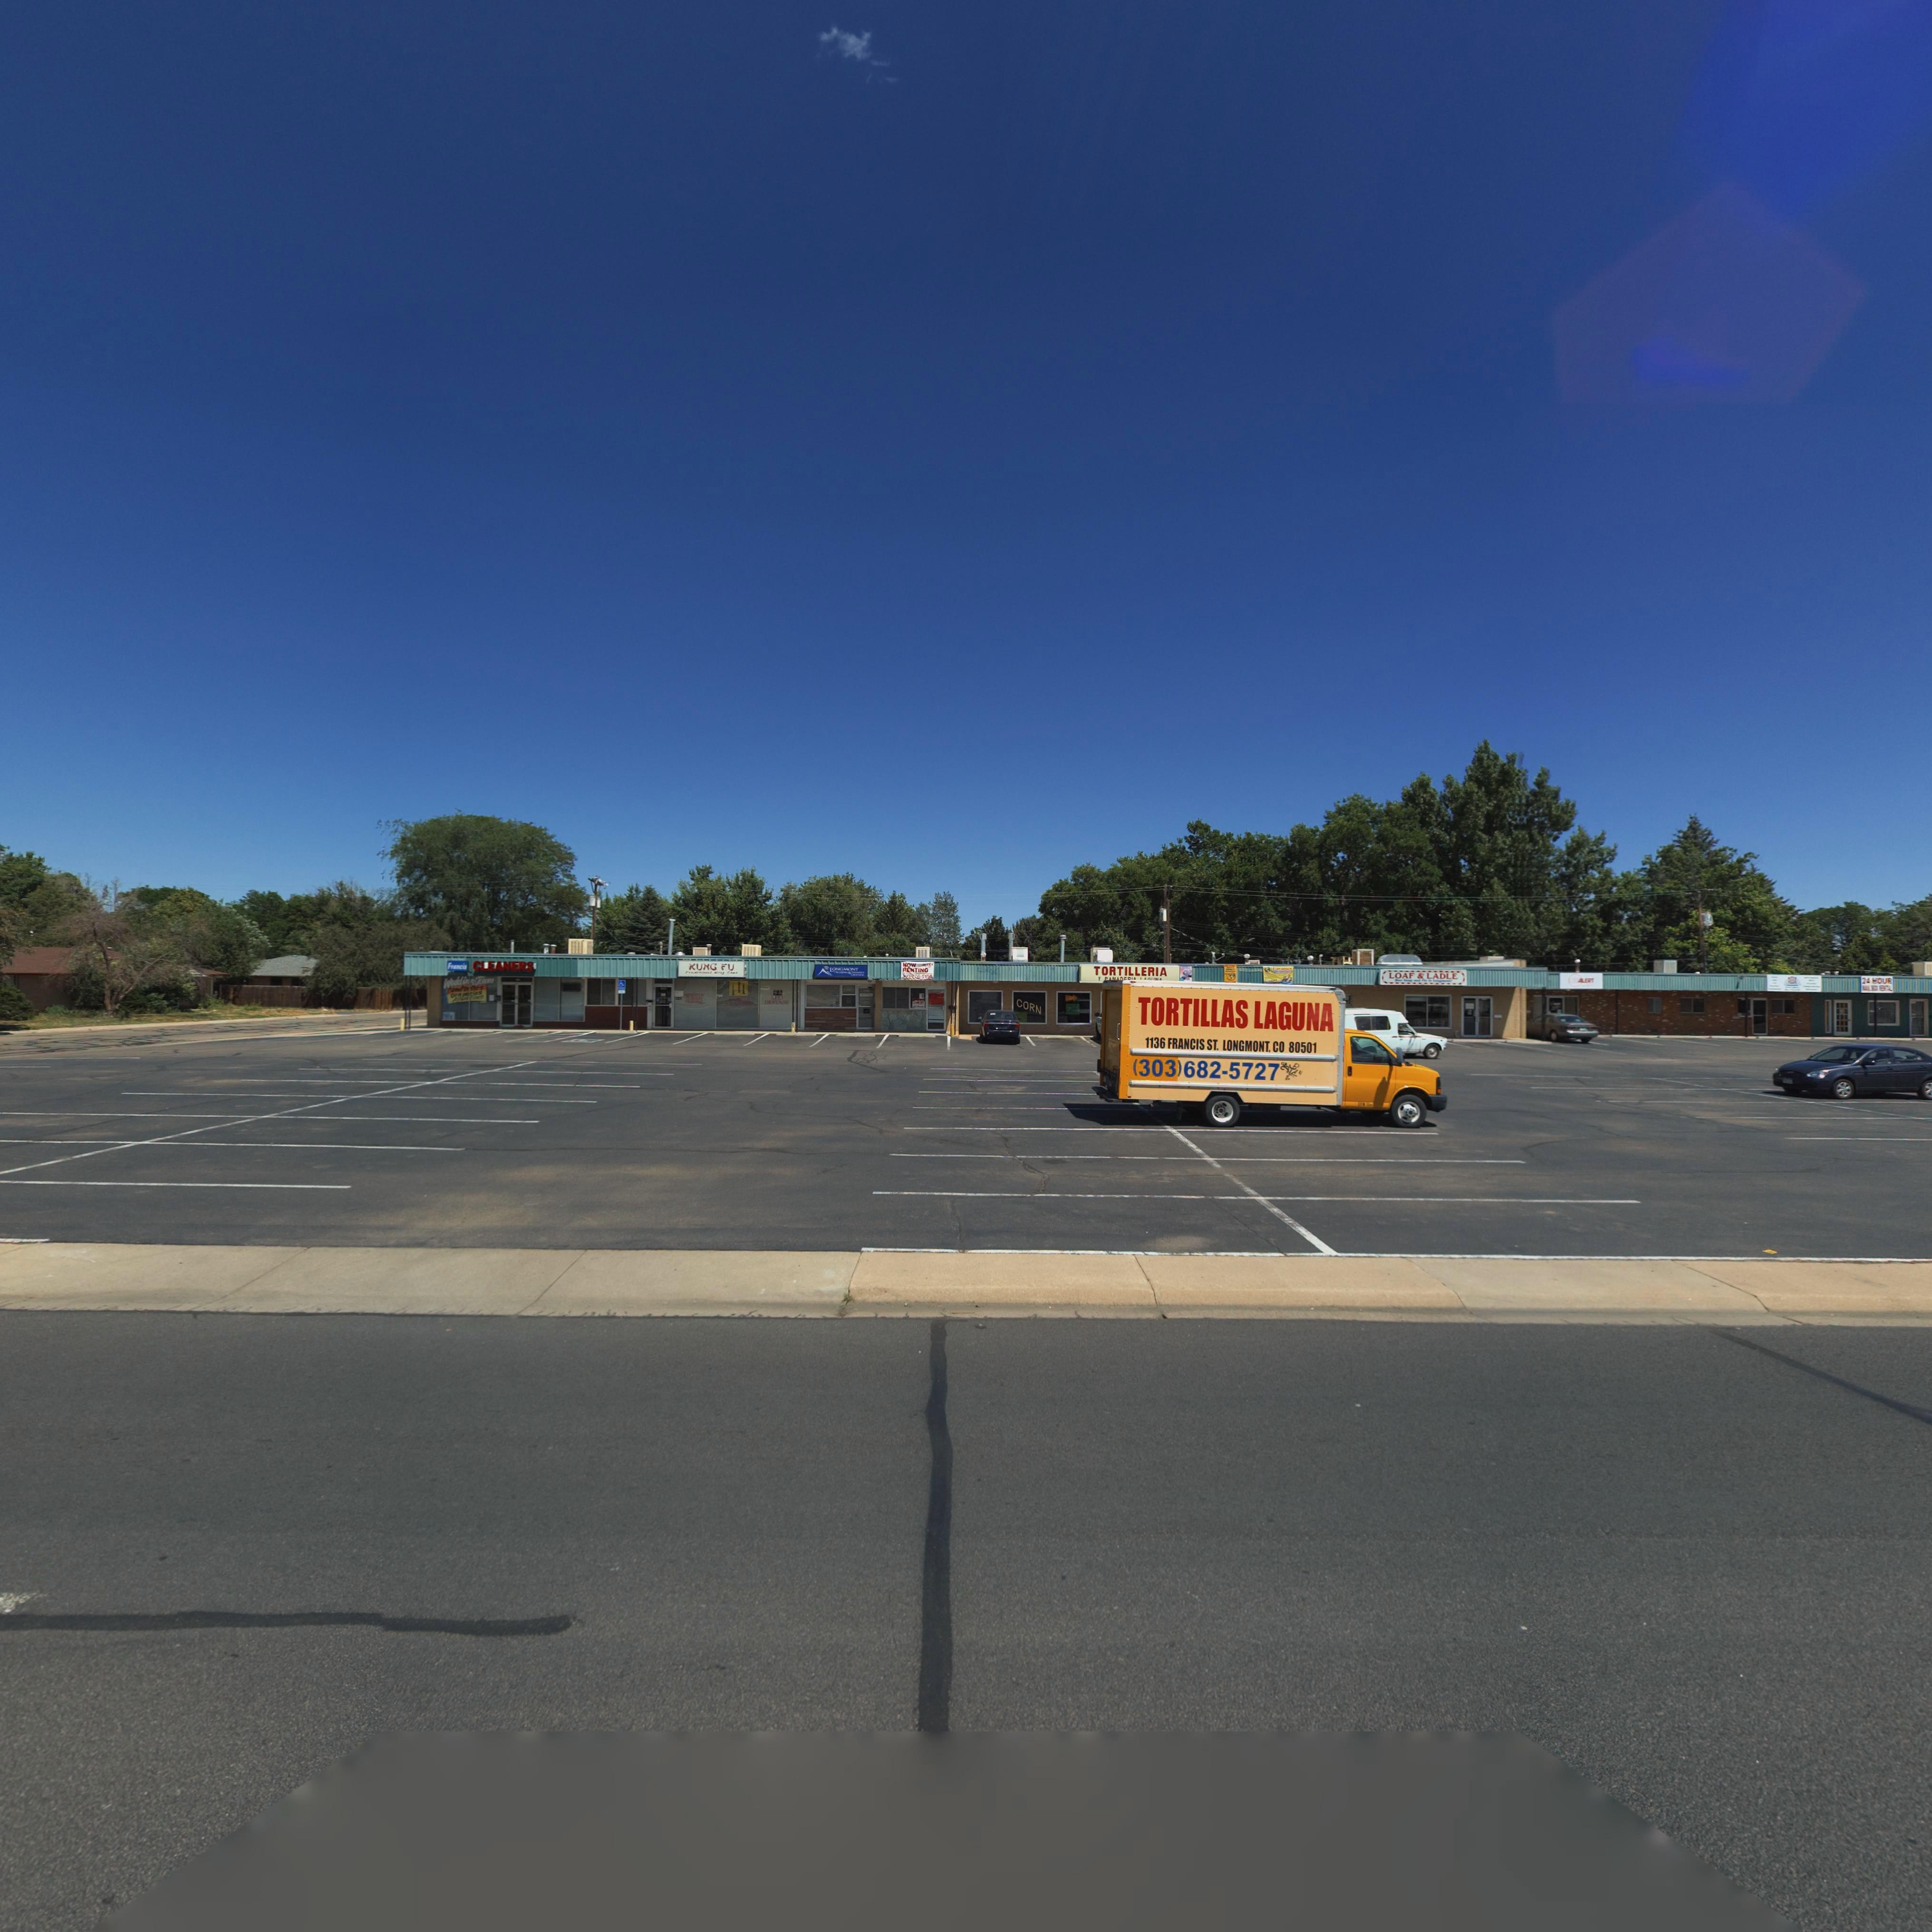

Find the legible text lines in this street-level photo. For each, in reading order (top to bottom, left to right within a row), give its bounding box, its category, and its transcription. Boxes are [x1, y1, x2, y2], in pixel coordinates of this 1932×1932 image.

[447, 961, 467, 969] BusinessName: Francis
[472, 961, 534, 973] BusinessName: CLEANERS
[688, 963, 734, 971] BusinessName: KUNG FU
[1092, 966, 1168, 976] BusinessName: TORTILLERIA
[1098, 976, 1162, 982] BusinessName: Y *
[1389, 972, 1459, 979] BusinessName: LOAF * LADLE
[1577, 977, 1594, 983] BusinessName: ALERT
[1861, 976, 1892, 985] BusinessName: 24 HOUR
[863, 989, 869, 992] StreetNumber: 1144